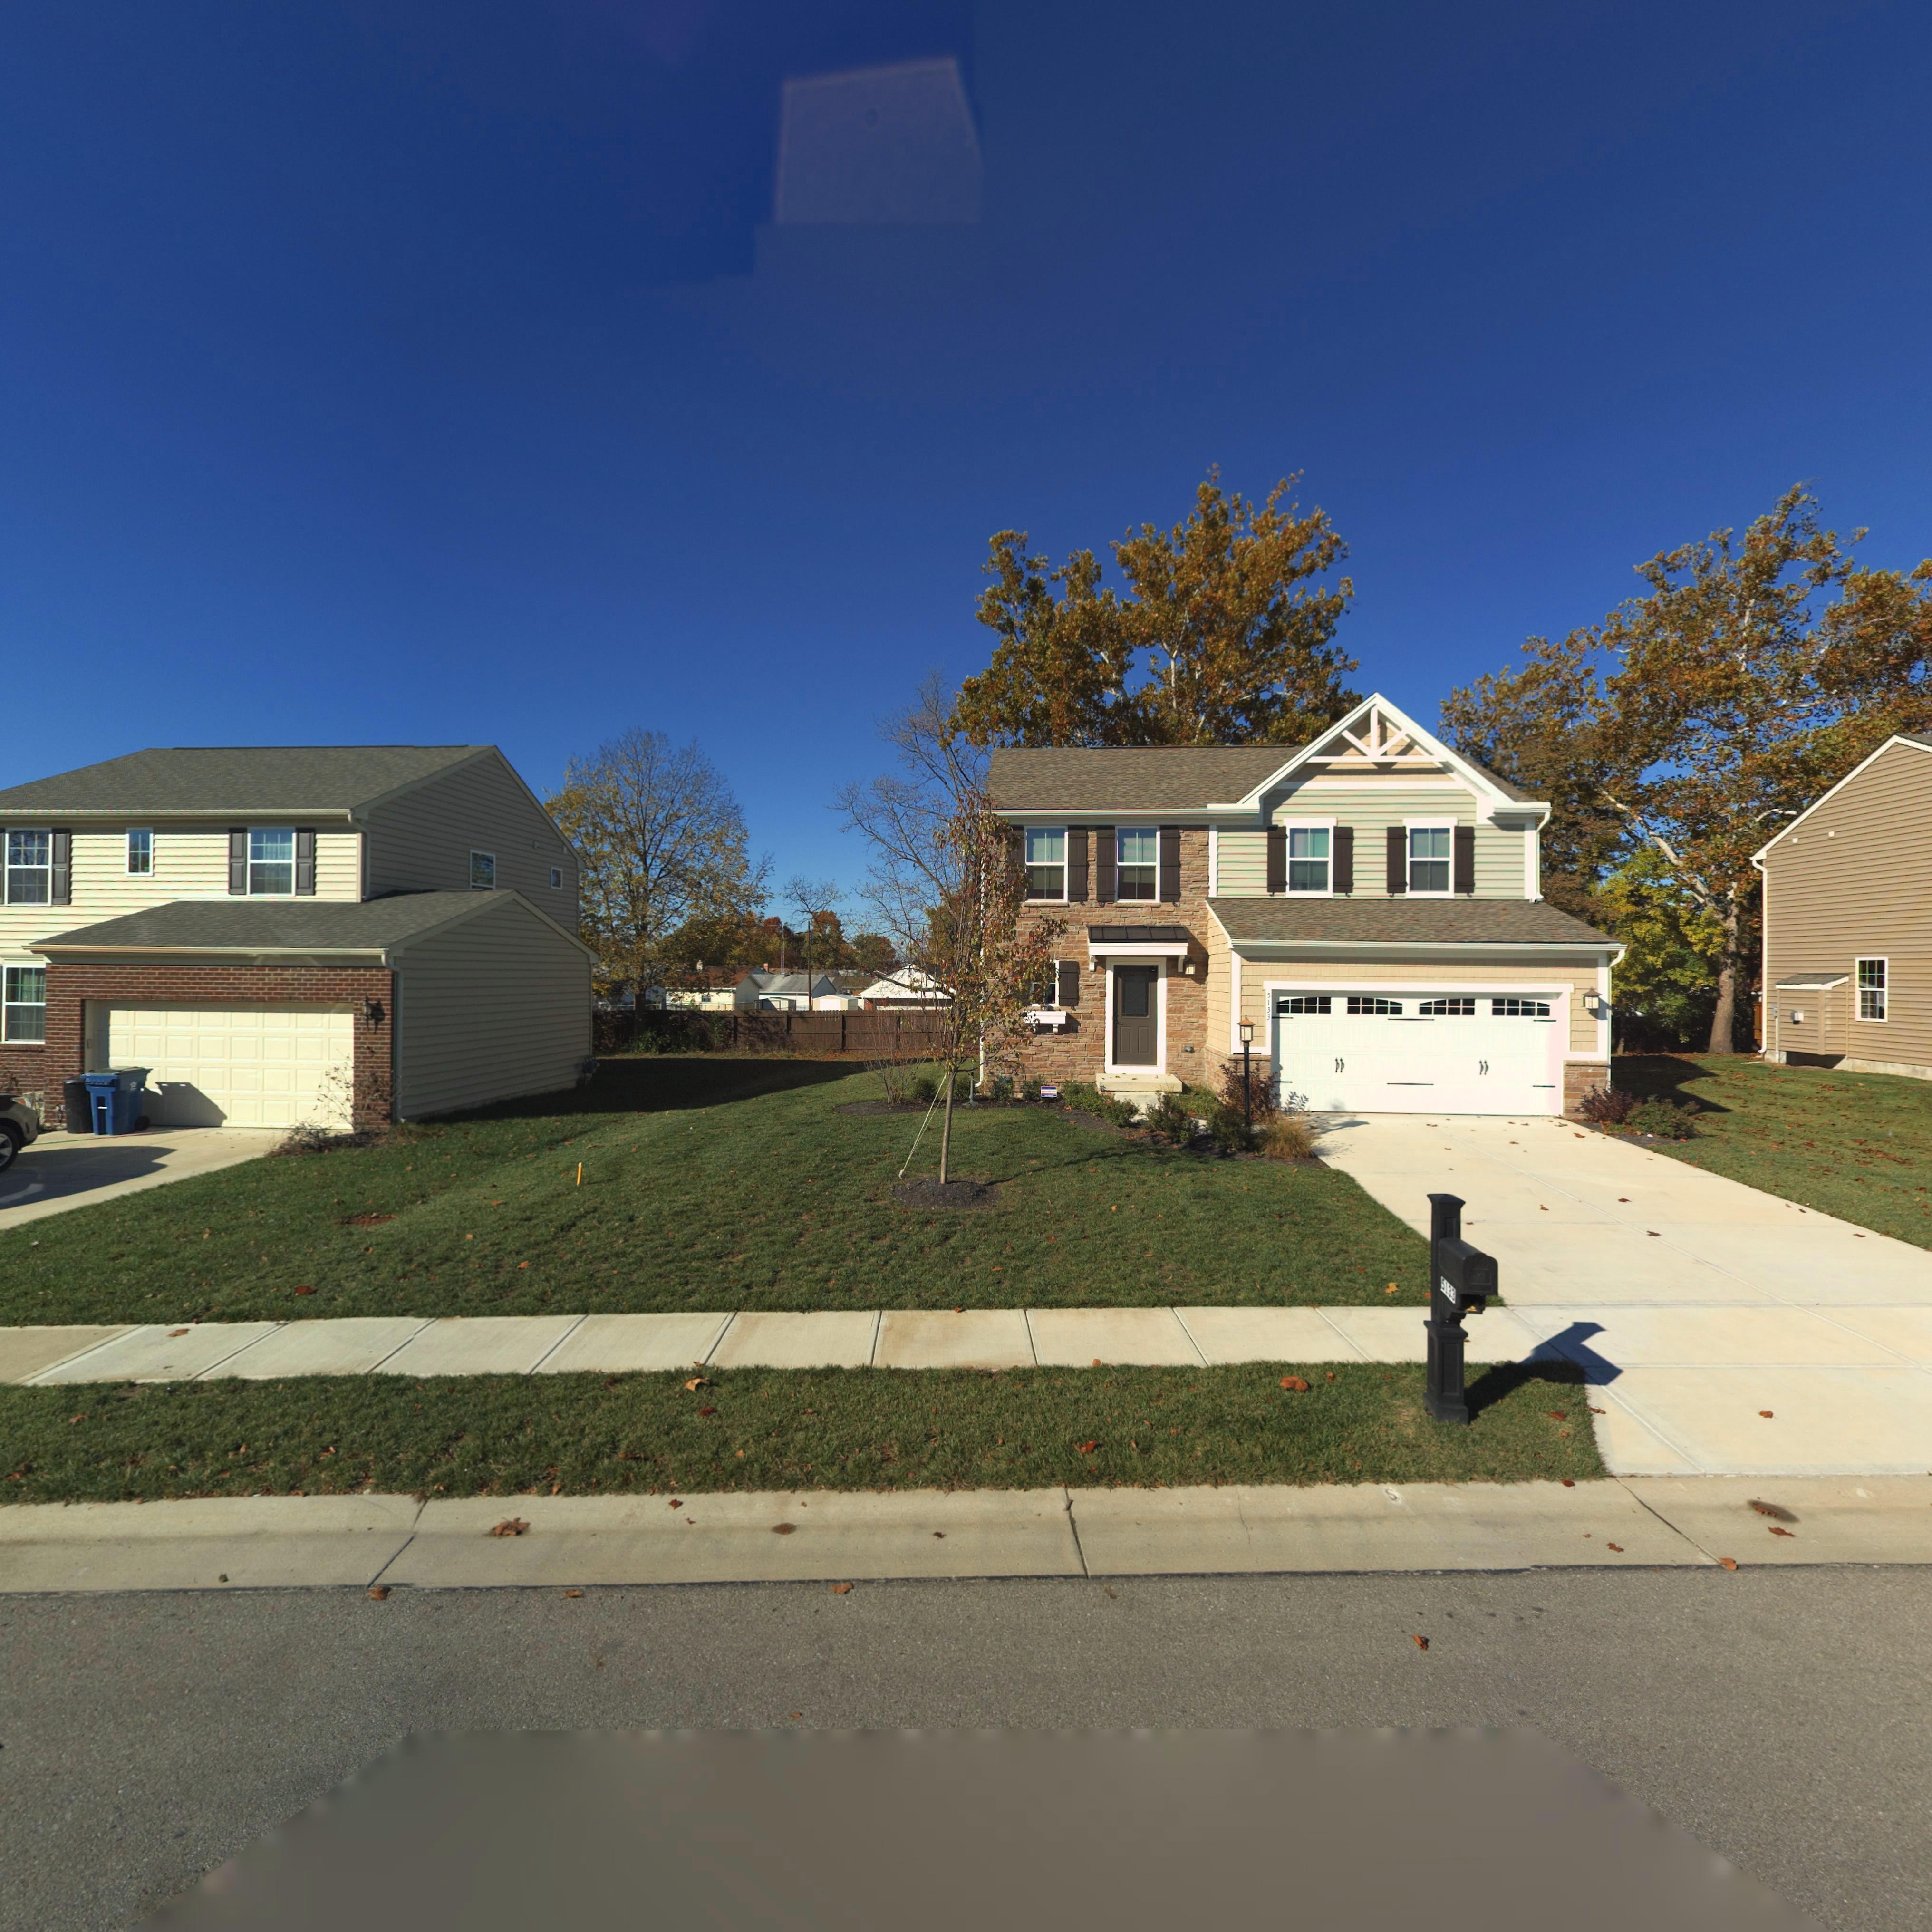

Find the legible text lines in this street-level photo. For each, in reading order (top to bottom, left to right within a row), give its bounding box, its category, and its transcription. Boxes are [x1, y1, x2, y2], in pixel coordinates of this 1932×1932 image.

[1266, 992, 1271, 1021] StreetNumber: 5133
[1440, 1276, 1456, 1303] StreetNumber: 5133